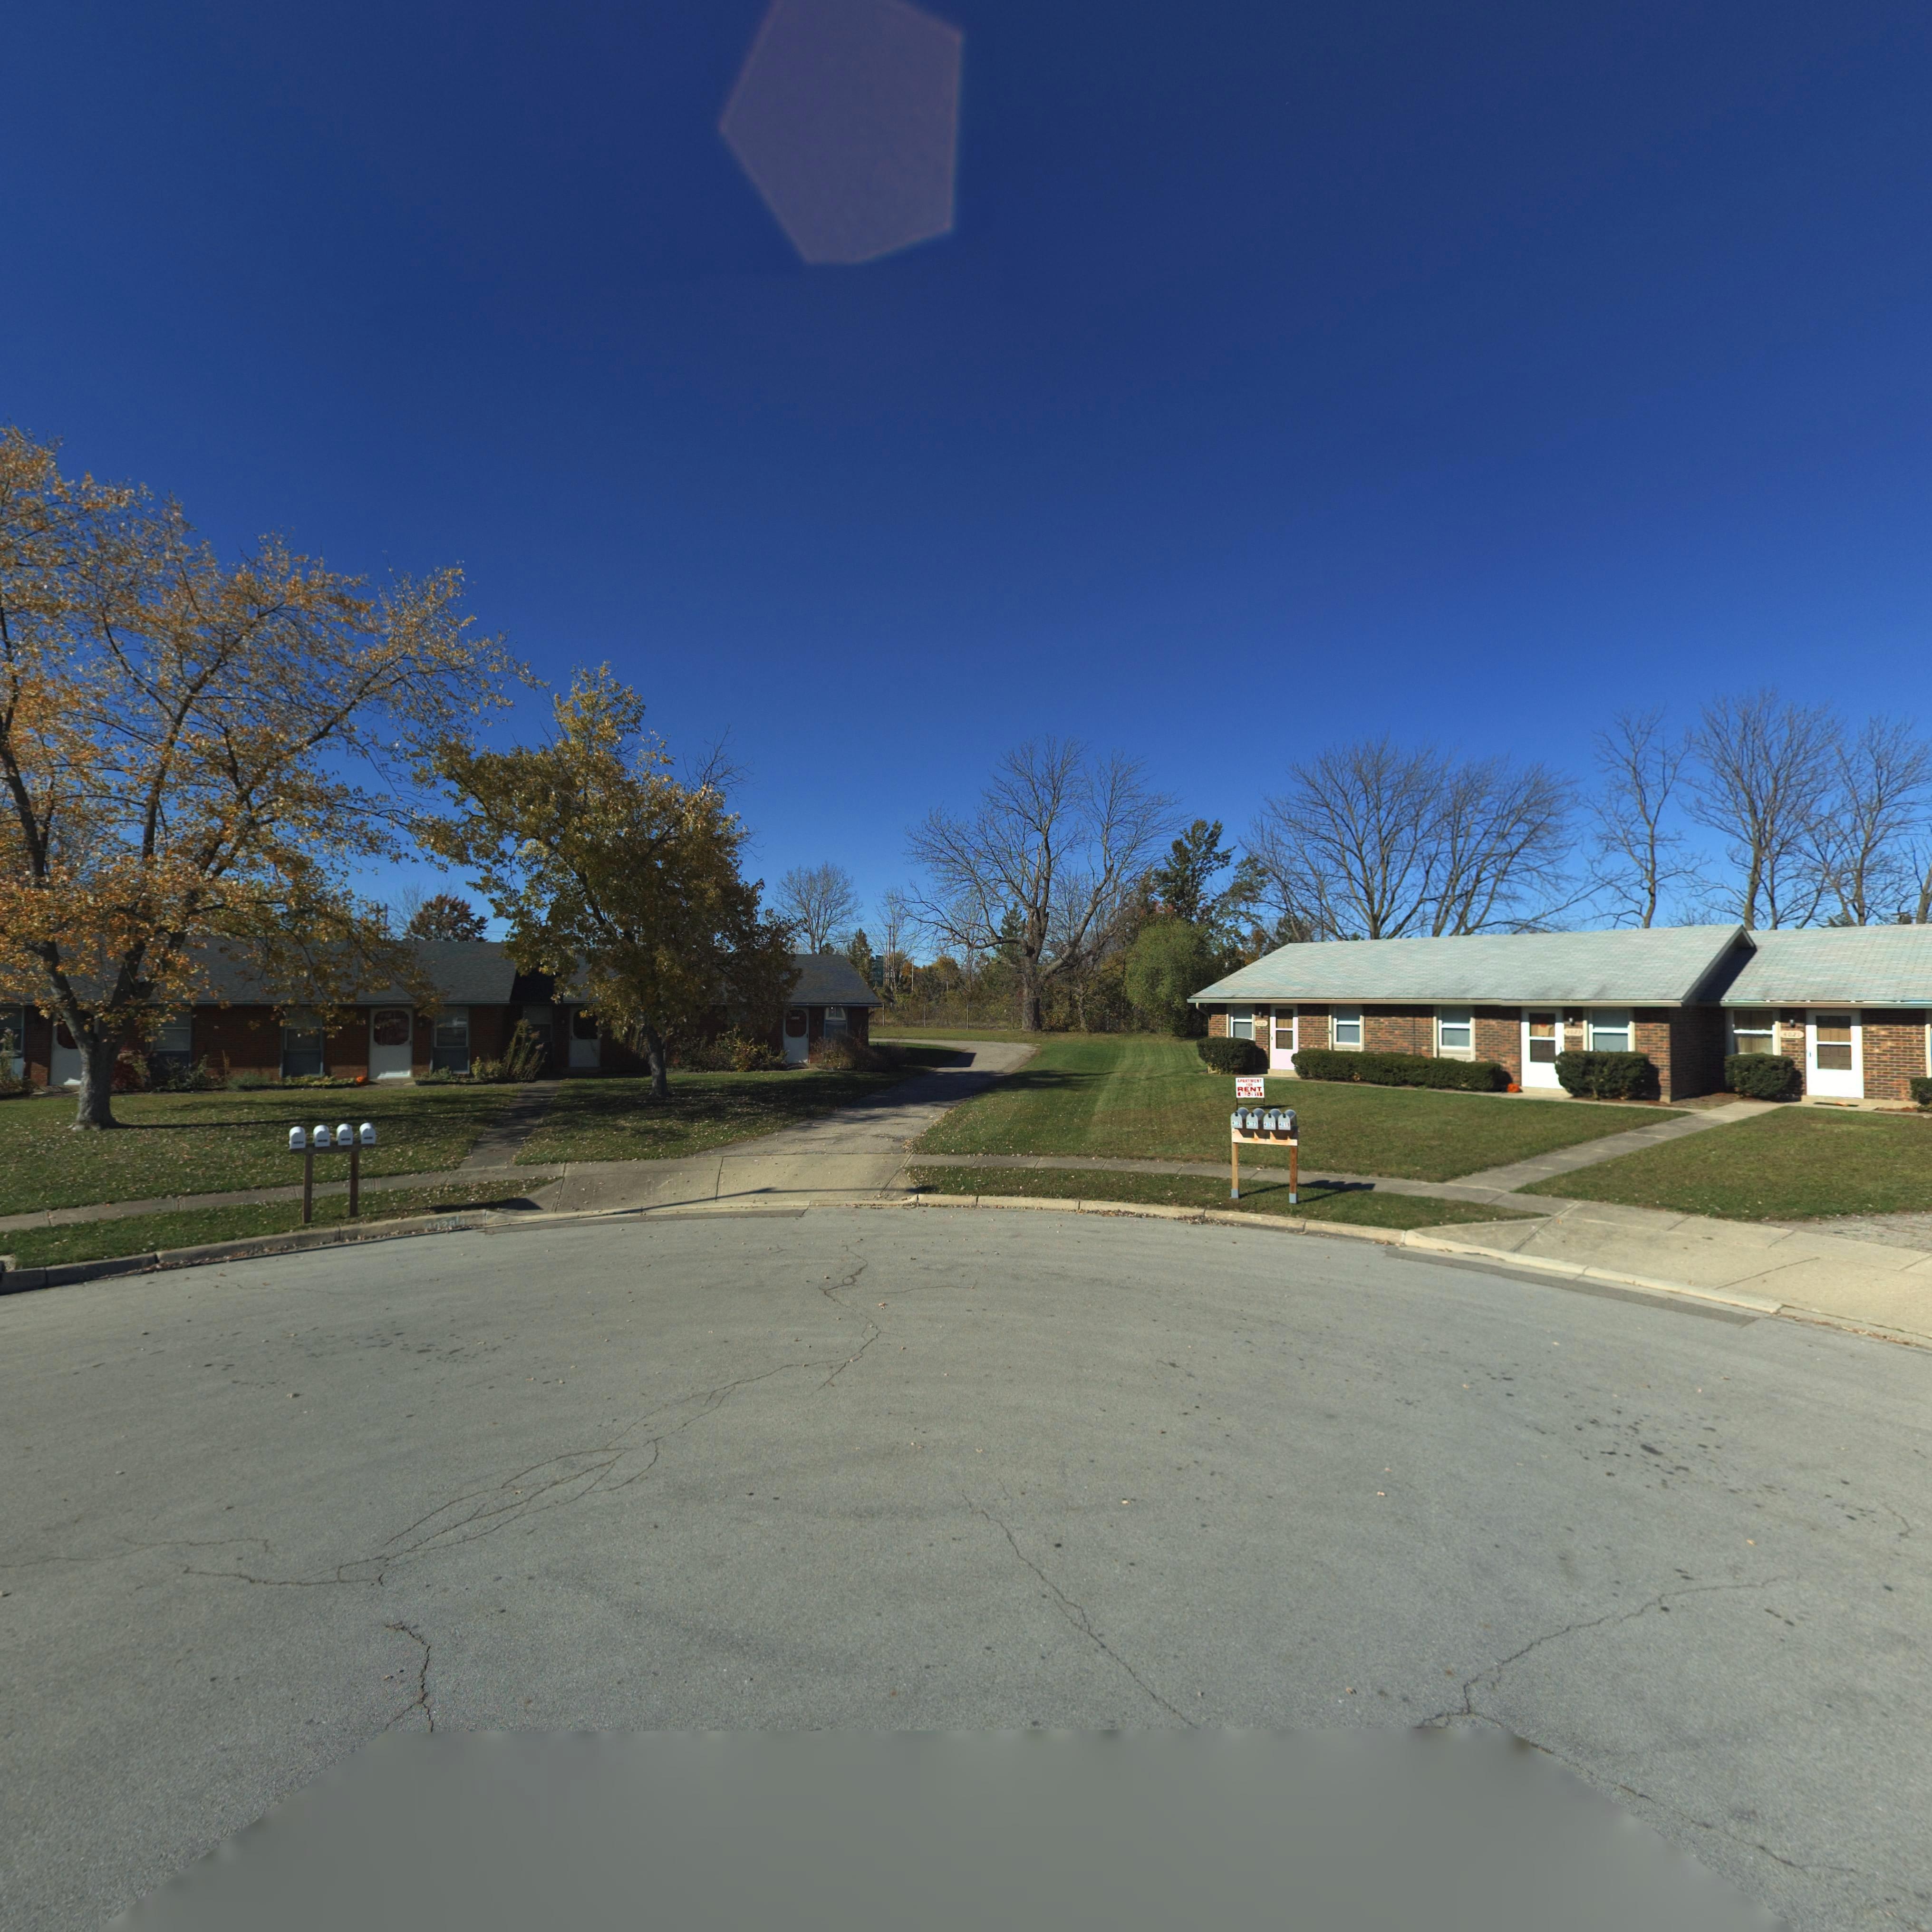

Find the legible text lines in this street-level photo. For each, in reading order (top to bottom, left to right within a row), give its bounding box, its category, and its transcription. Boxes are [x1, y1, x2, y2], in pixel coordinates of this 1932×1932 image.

[790, 1016, 800, 1020] StreetNumber: **28
[1256, 1021, 1266, 1025] StreetNumber: 4025
[1565, 1029, 1583, 1035] StreetNumber: 4023
[1782, 1032, 1800, 1037] StreetNumber: 4021
[1231, 1120, 1242, 1126] StreetNumber: 402*
[1246, 1121, 1257, 1126] StreetNumber: 4023
[1263, 1122, 1275, 1127] StreetNumber: 4021
[1278, 1122, 1290, 1127] StreetNumber: 4019
[459, 1217, 474, 1226] StreetNumber: 40
[425, 1219, 456, 1230] StreetNumber: 4028